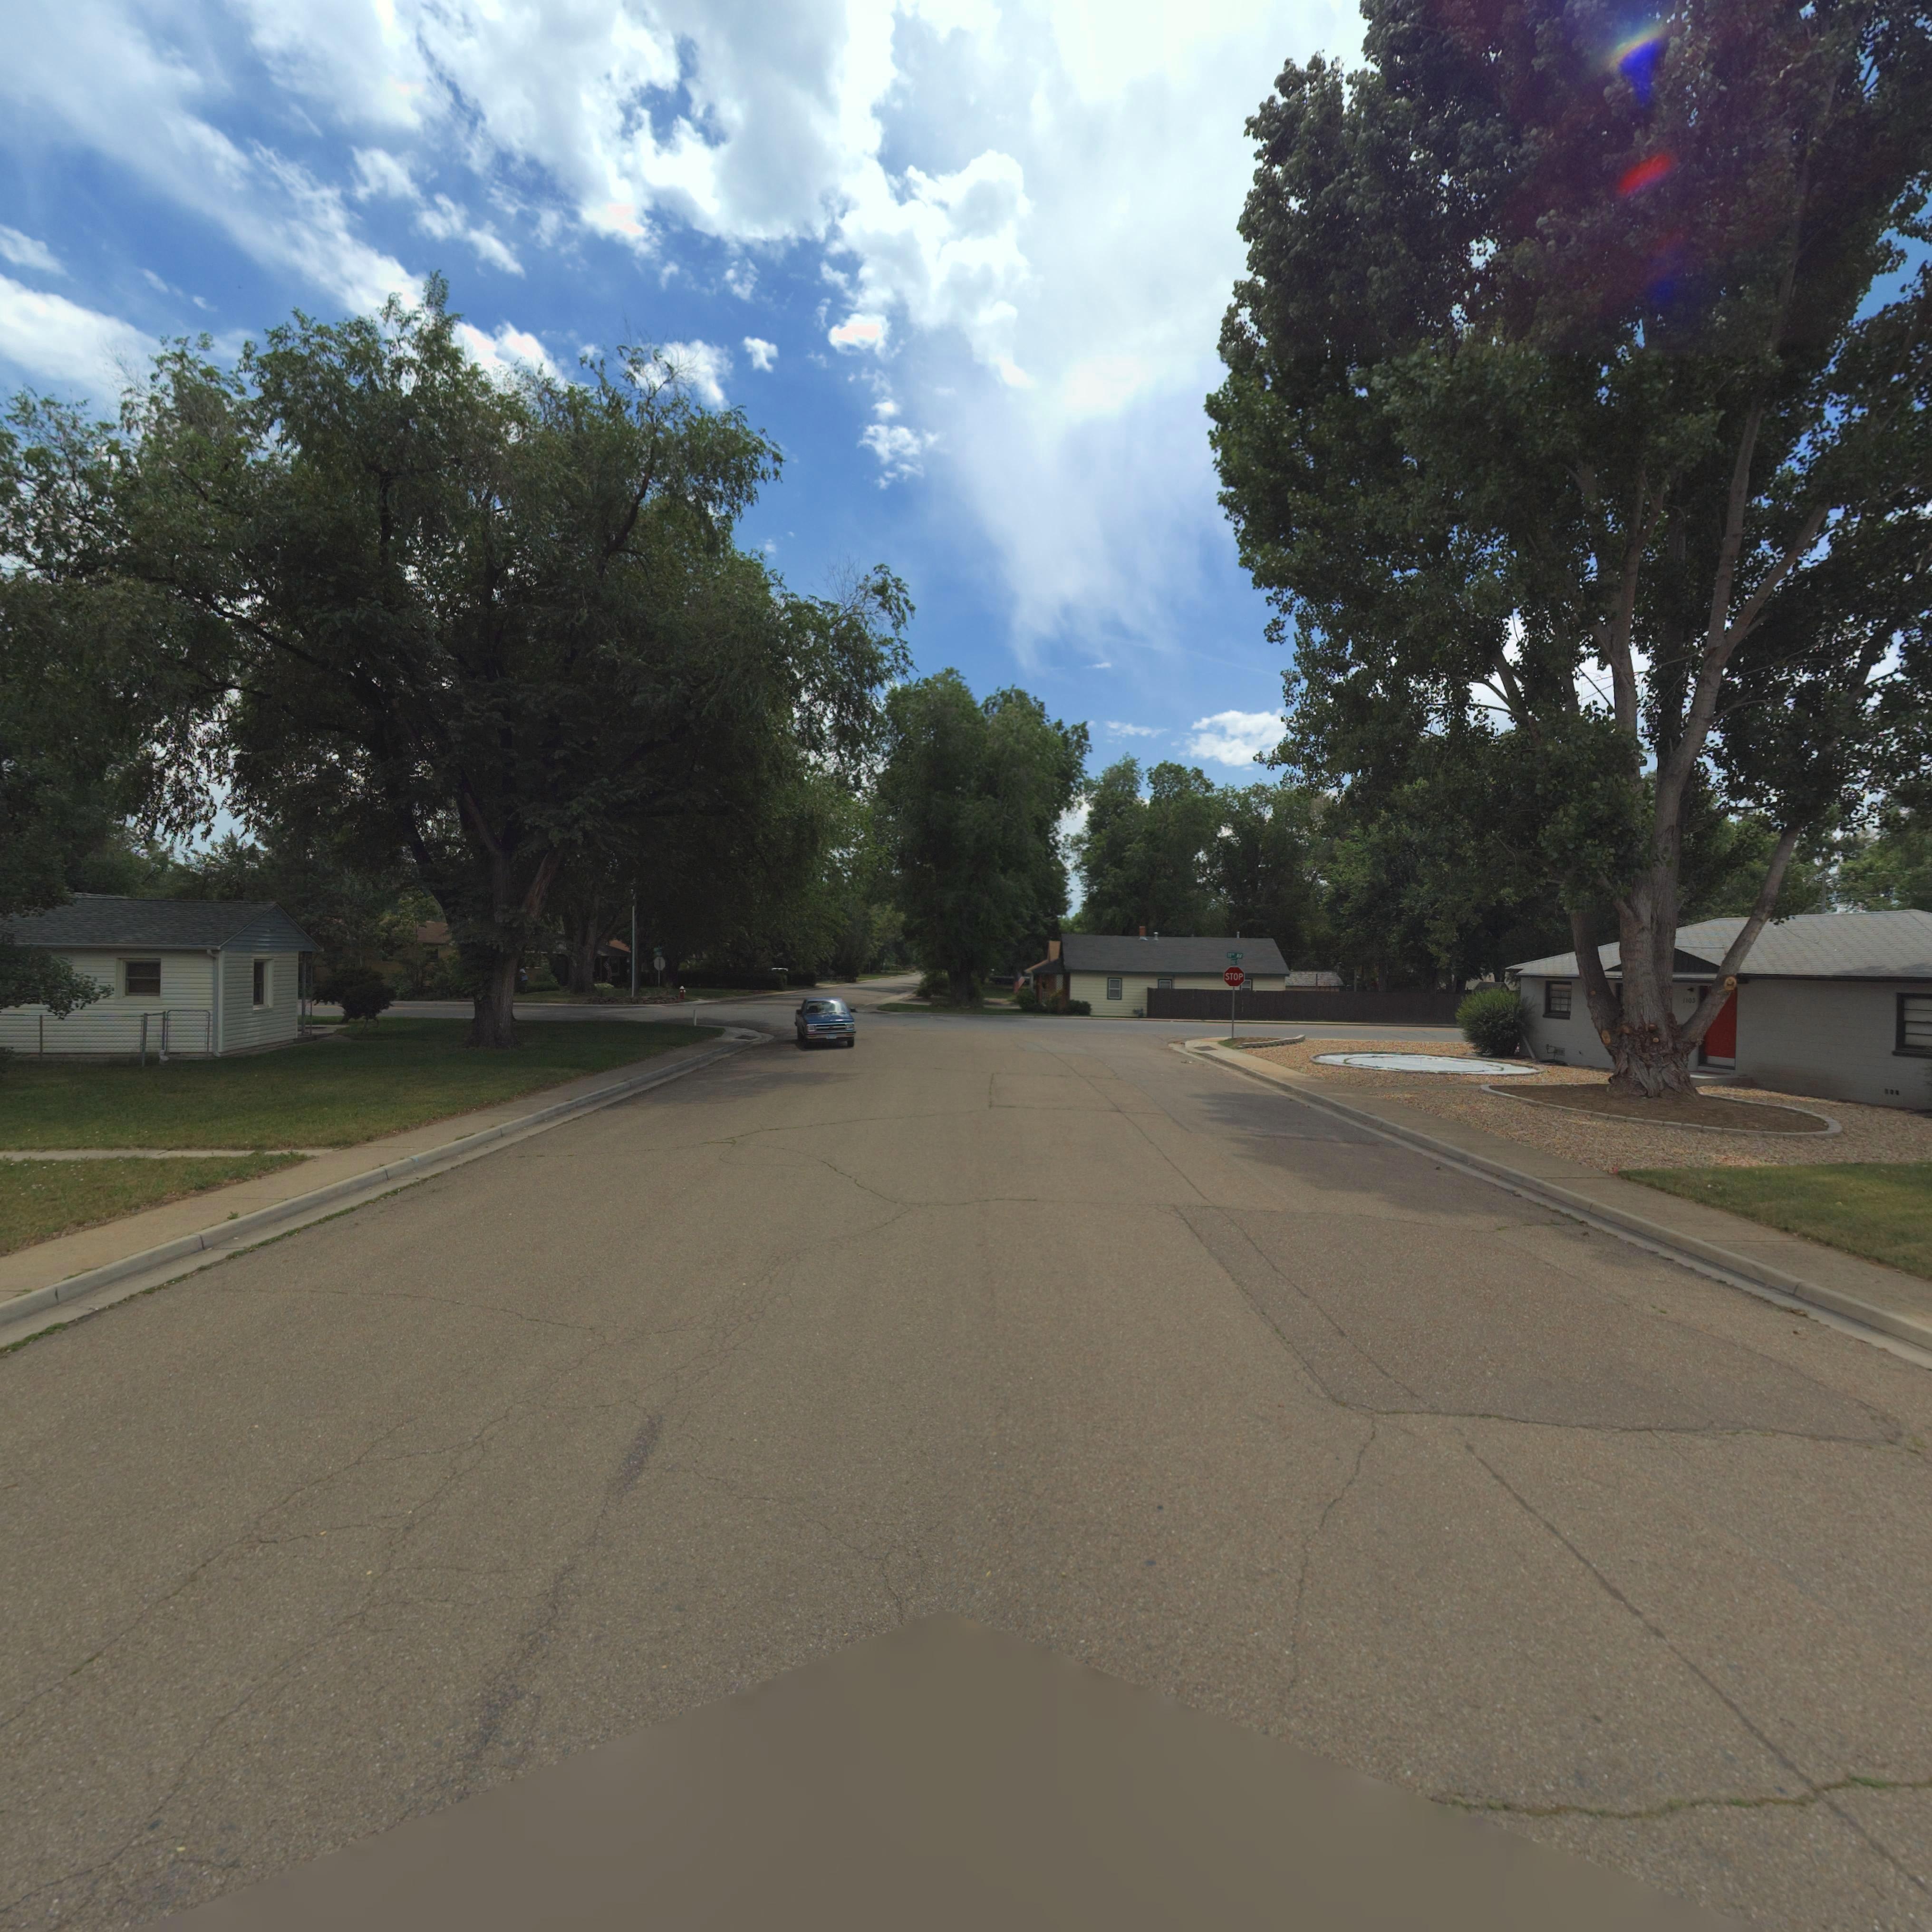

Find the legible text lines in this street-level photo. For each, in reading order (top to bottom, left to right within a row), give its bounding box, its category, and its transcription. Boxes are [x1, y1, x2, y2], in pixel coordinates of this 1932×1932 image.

[1227, 952, 1243, 958] StreetName: 11** AV
[1682, 997, 1696, 1003] StreetNumber: 1103